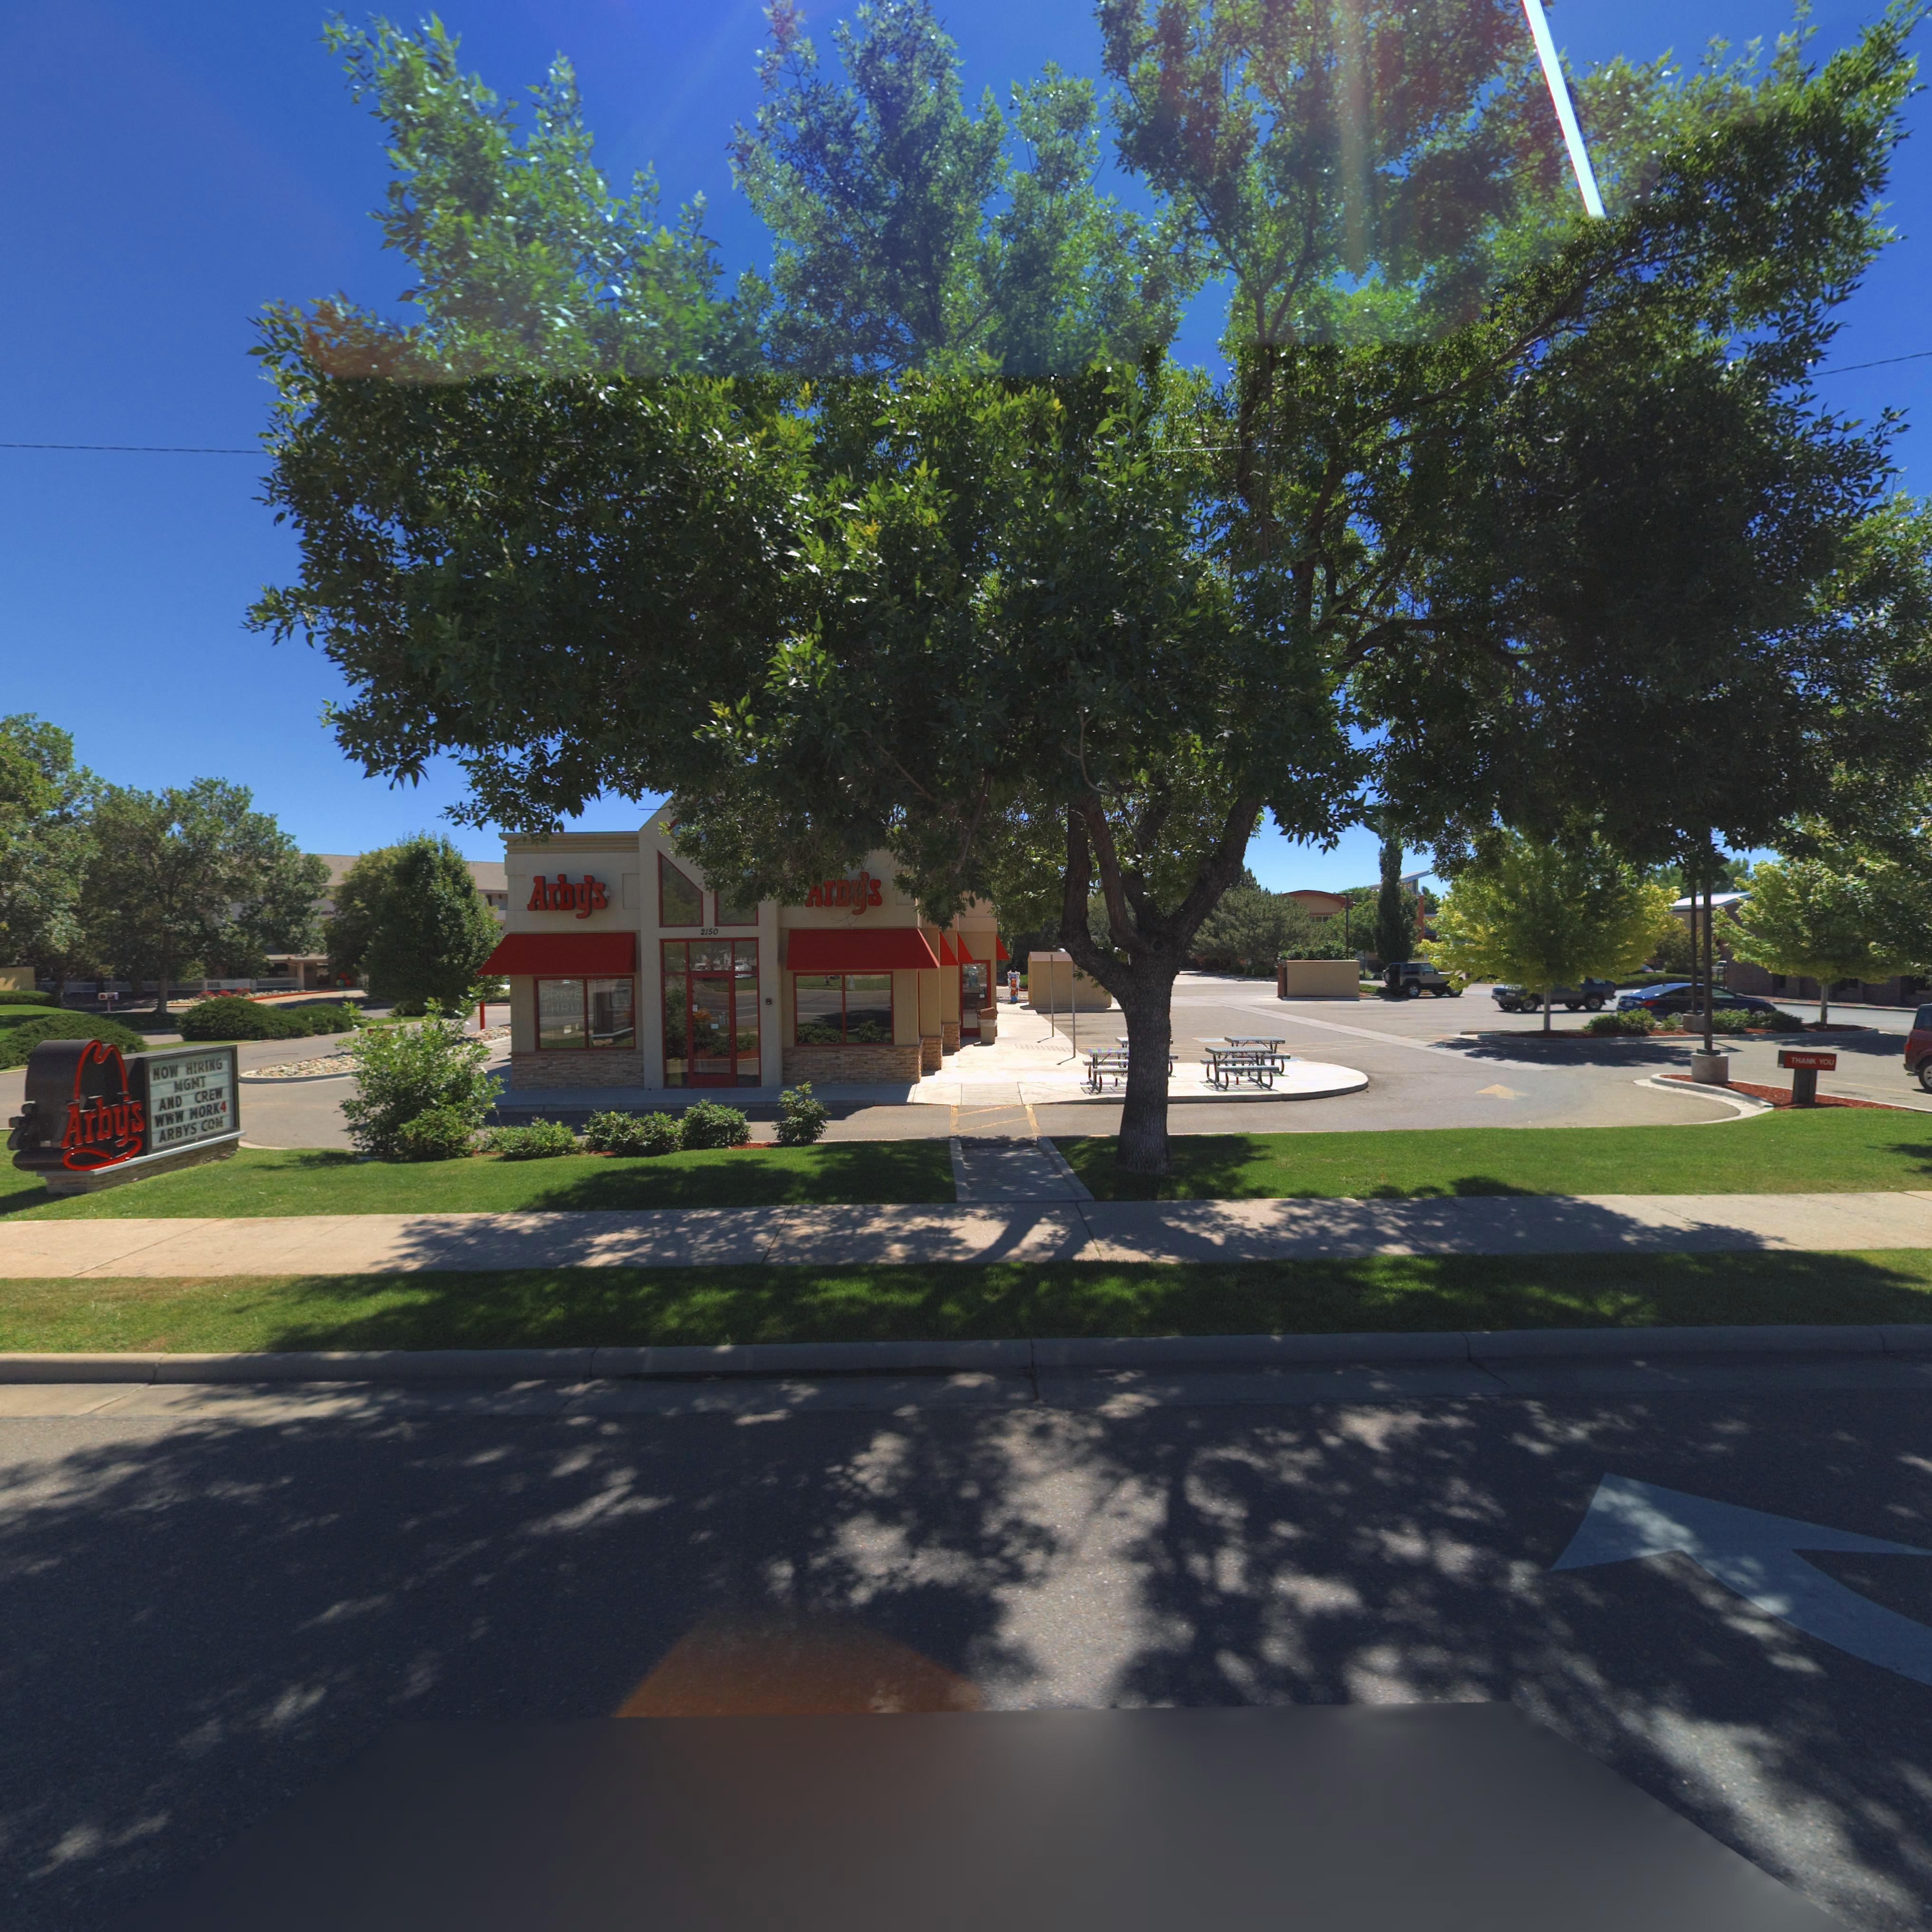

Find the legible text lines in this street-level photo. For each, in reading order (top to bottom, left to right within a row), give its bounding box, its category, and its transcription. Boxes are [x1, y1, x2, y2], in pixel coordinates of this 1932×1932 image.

[526, 872, 609, 919] BusinessName: Arby's
[803, 871, 883, 916] BusinessName: Arby's
[700, 927, 718, 935] StreetNumber: 2150
[58, 1092, 146, 1150] BusinessName: Arby's